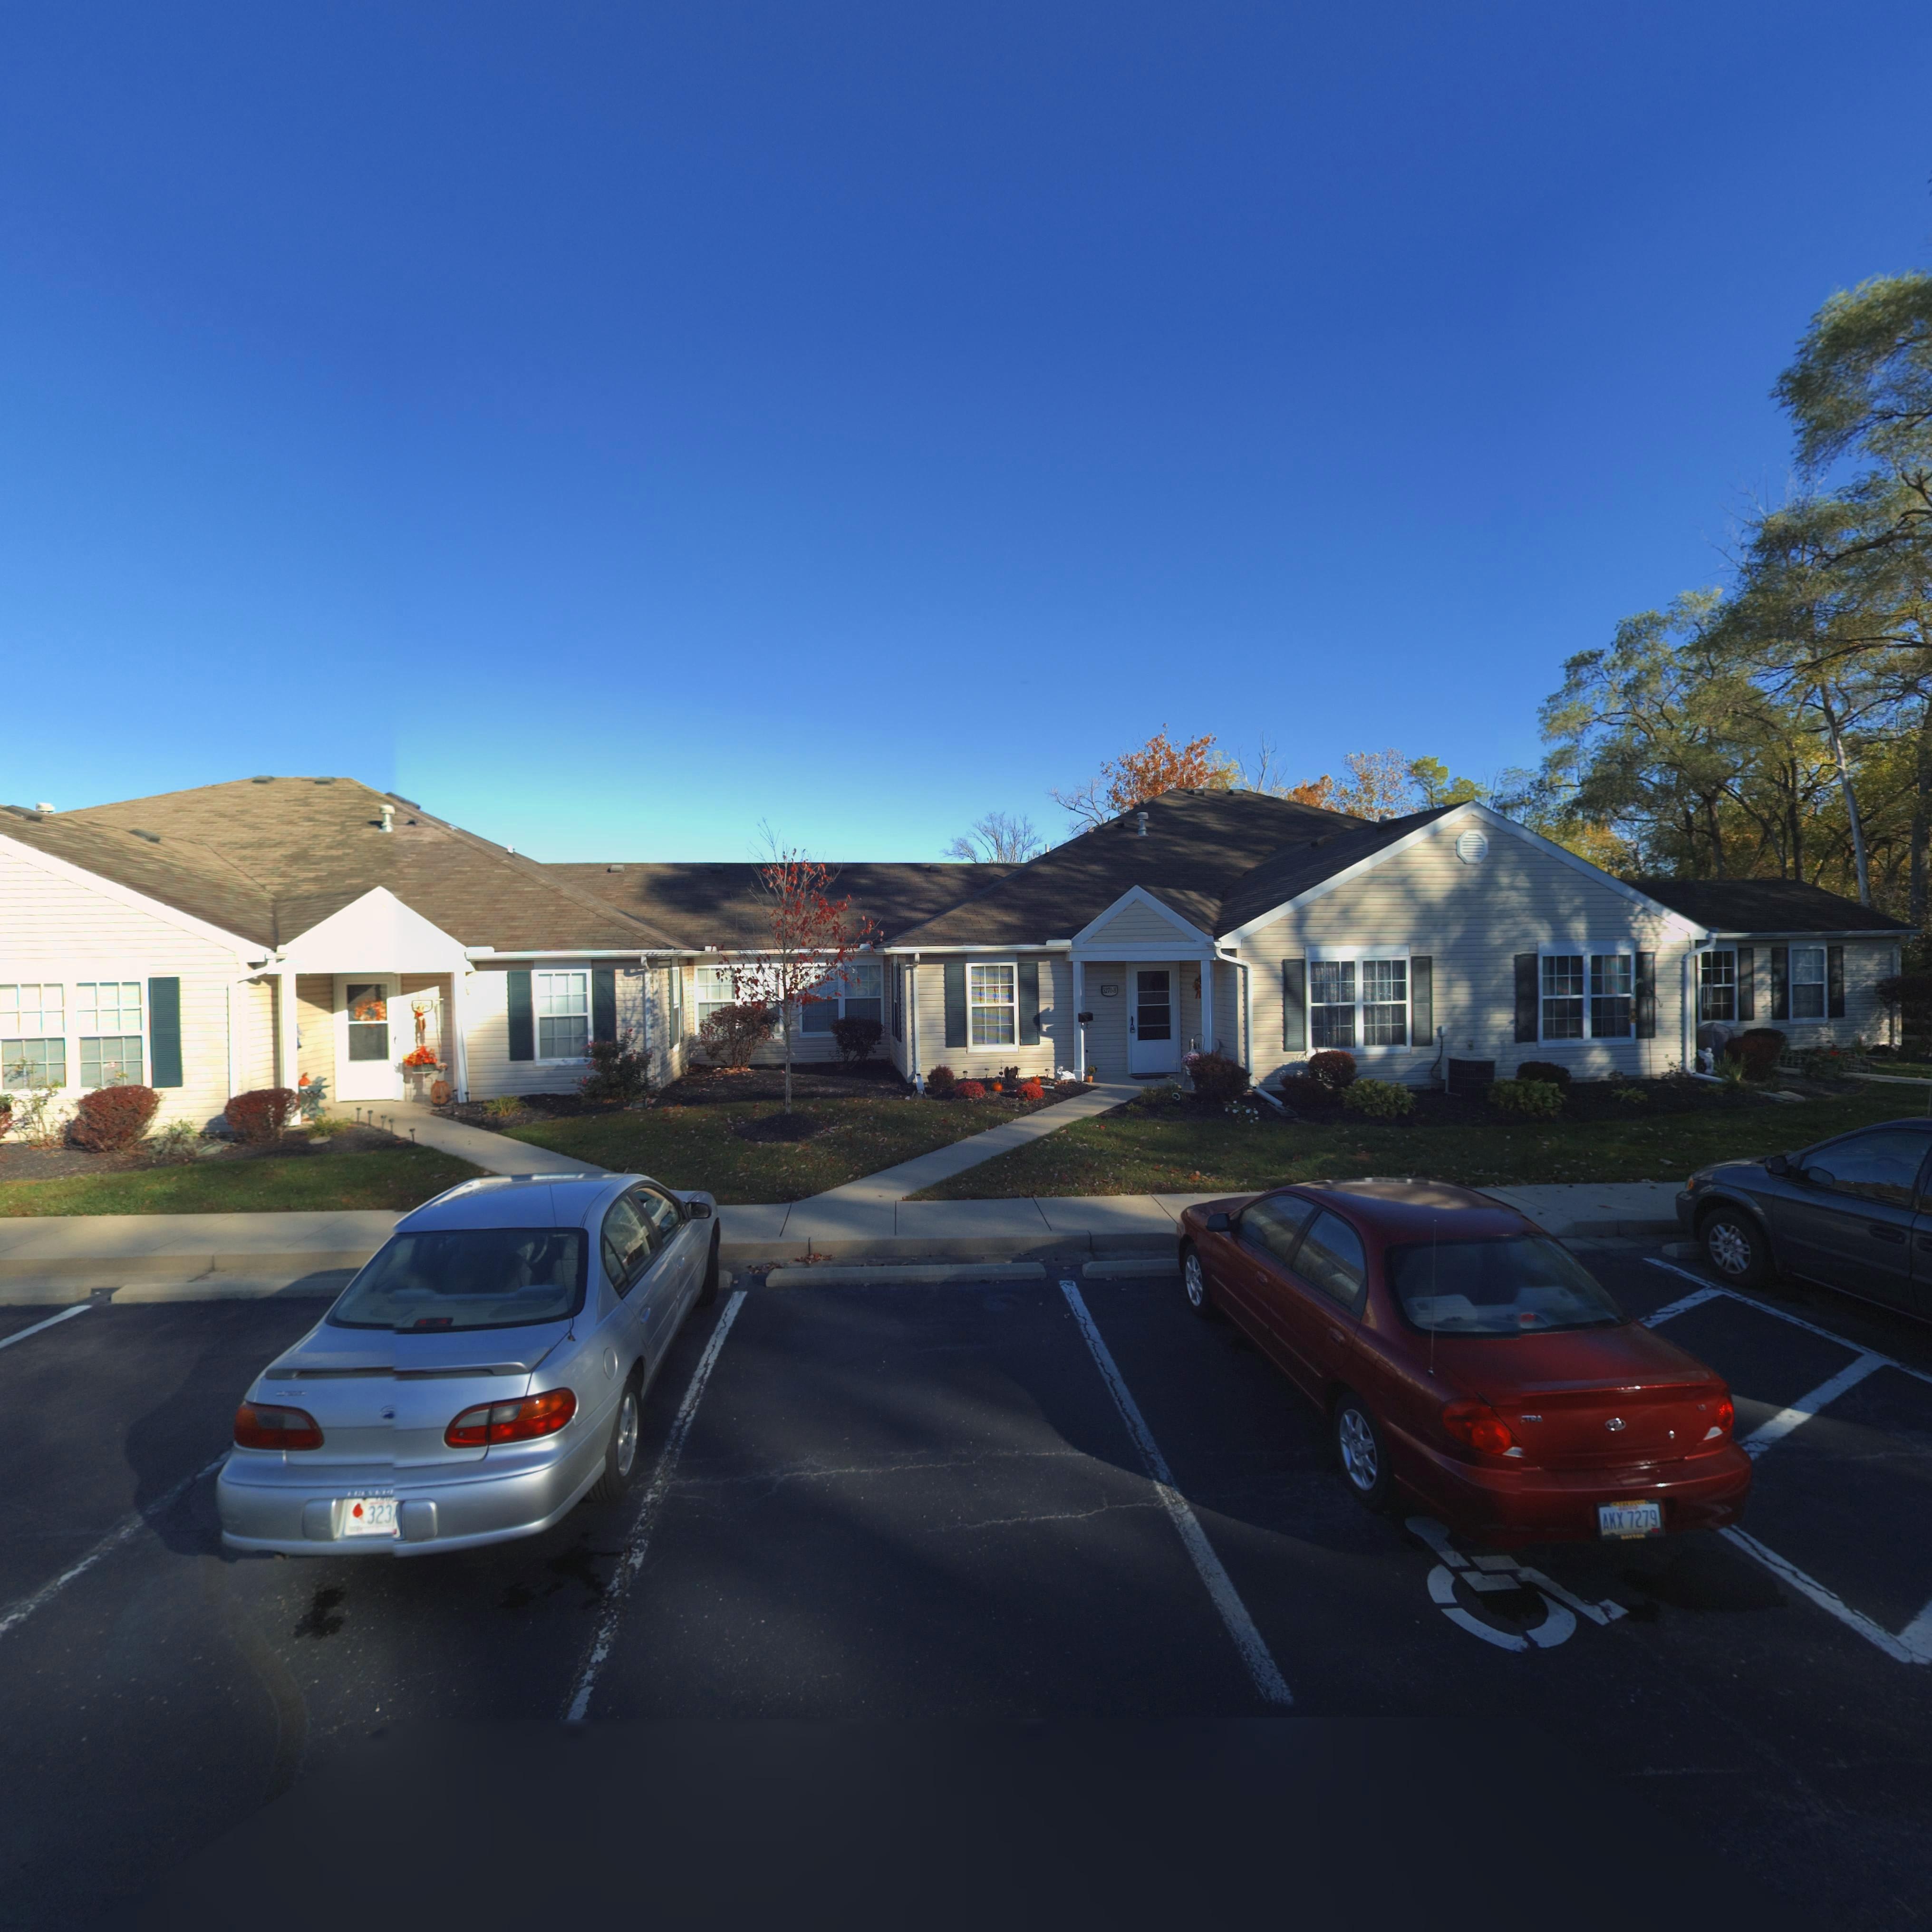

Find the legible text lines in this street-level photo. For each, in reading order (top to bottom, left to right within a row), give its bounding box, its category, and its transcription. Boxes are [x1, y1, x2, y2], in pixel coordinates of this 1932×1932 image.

[1102, 986, 1117, 994] StreetNumber: 5270-B